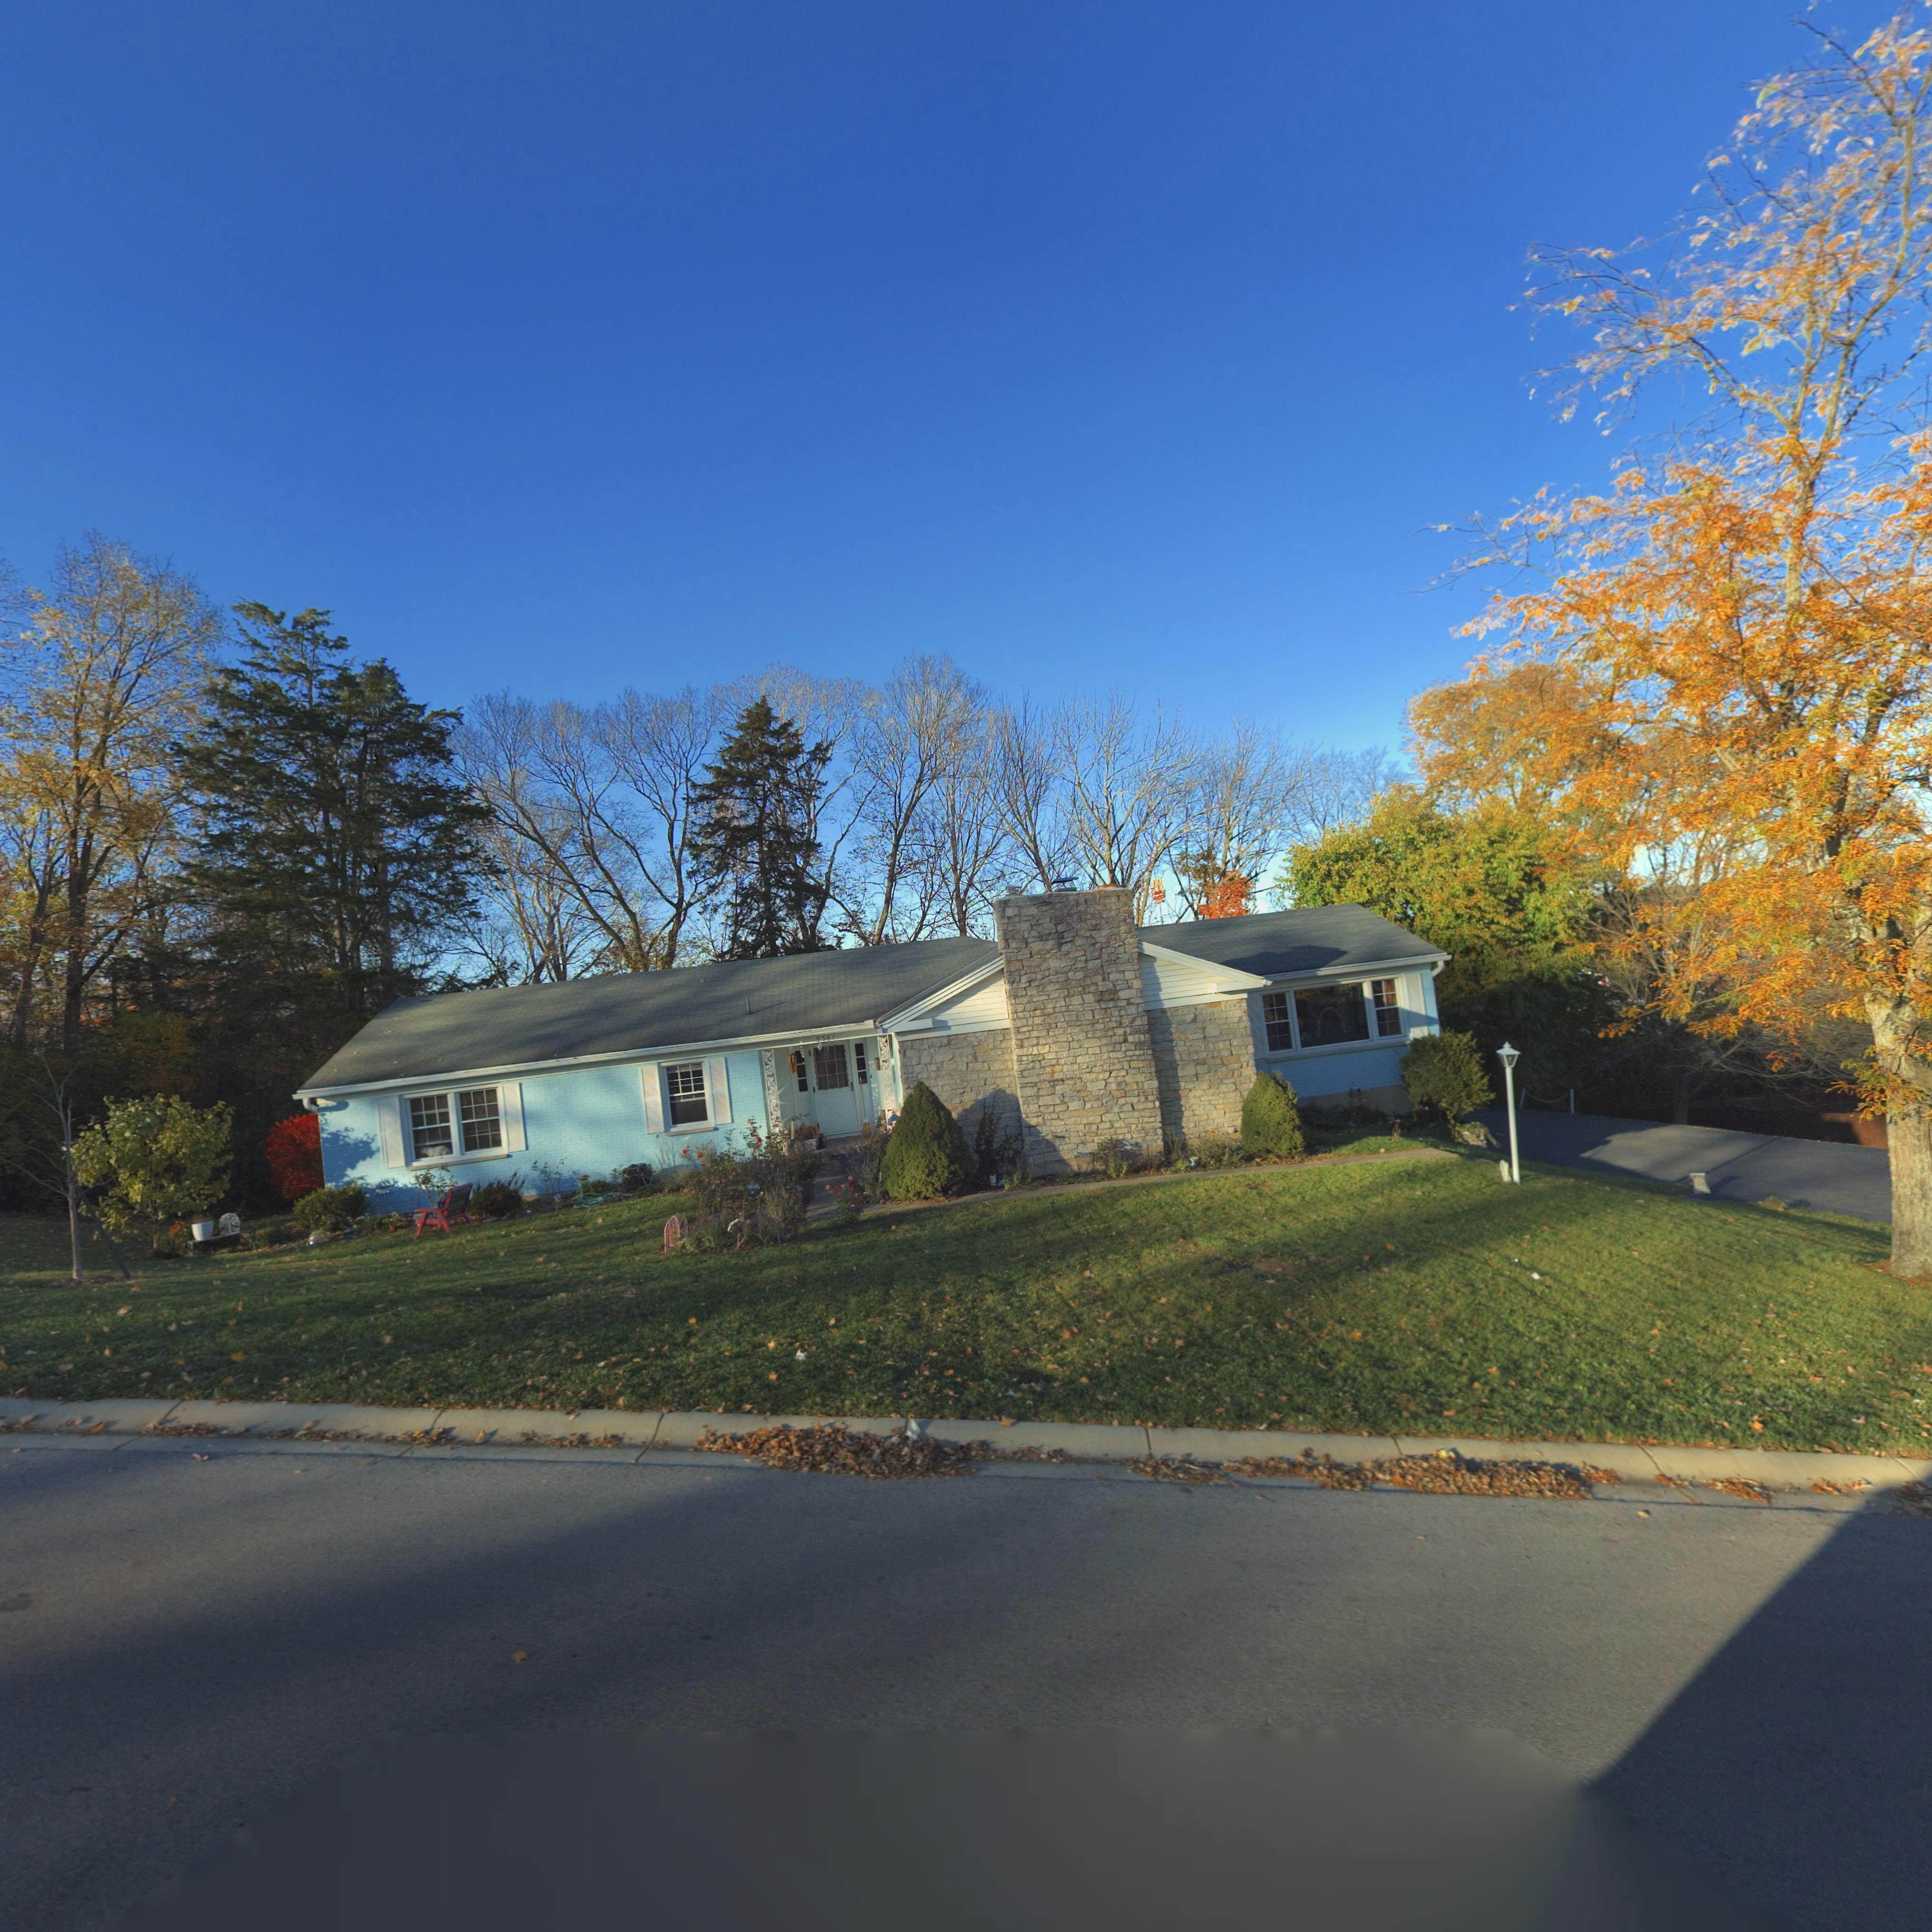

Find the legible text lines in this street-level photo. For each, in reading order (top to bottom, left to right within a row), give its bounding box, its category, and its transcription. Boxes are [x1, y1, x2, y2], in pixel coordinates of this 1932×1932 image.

[815, 1034, 836, 1044] StreetNumber: 5361